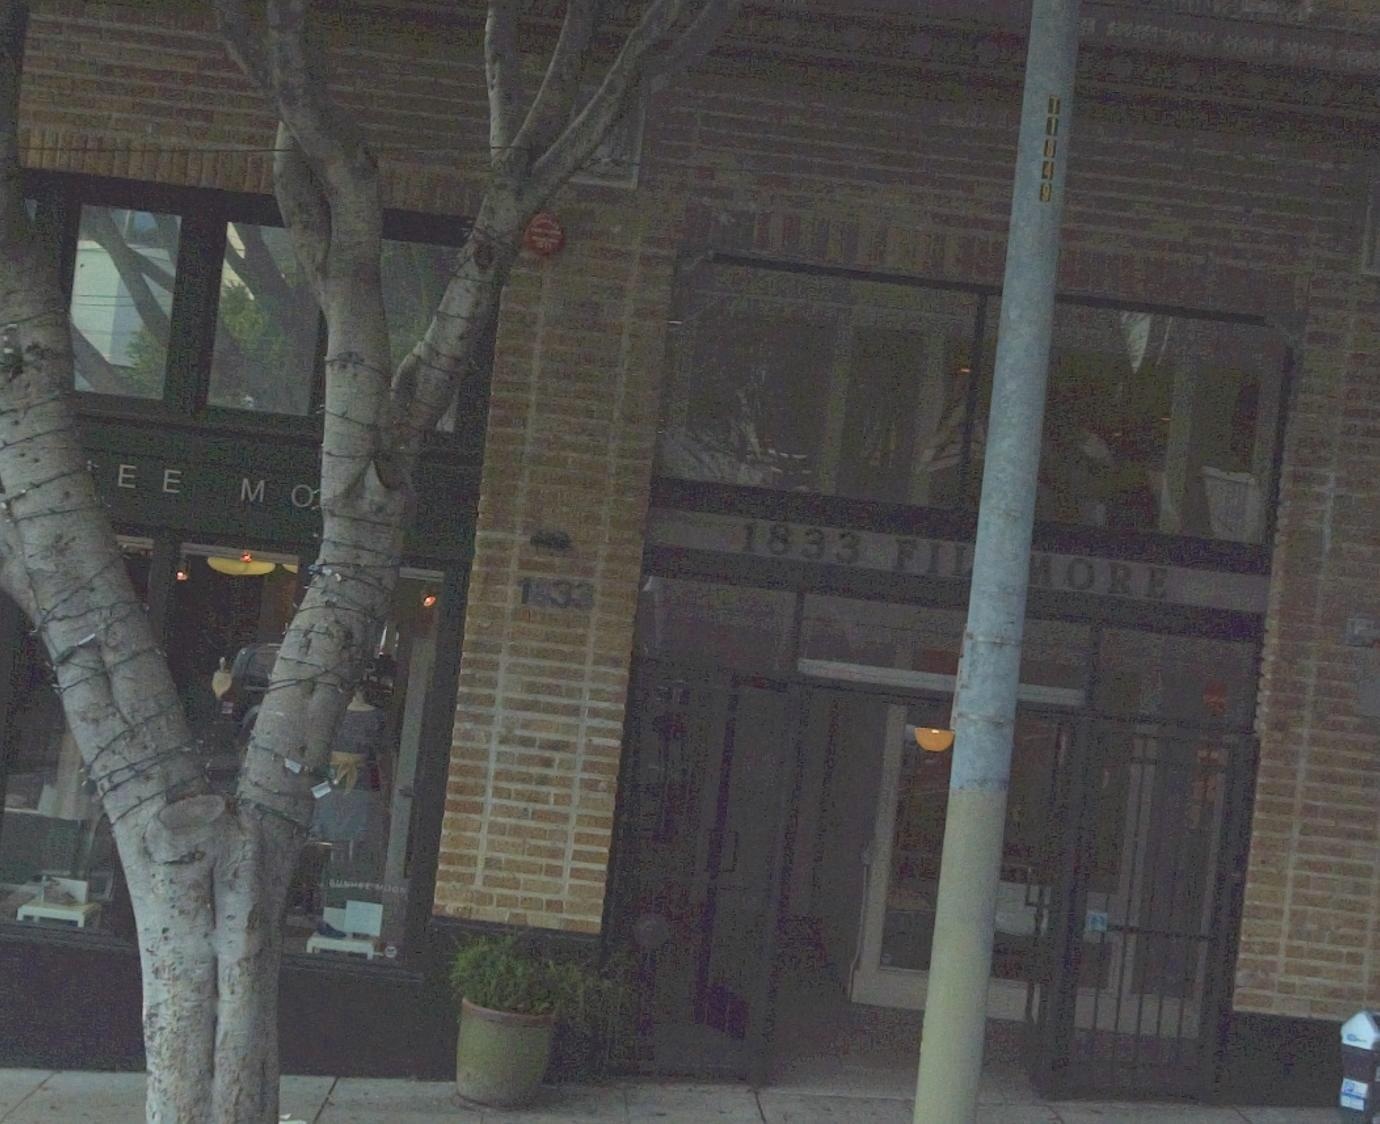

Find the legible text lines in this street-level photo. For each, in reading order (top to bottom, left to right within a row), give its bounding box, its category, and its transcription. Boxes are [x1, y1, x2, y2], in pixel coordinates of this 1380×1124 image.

[1038, 94, 1063, 205] None: T1849
[111, 459, 318, 514] BusinessName: EE M*O
[513, 570, 602, 617] StreetNumber: 1*33
[736, 516, 866, 570] StreetNumber: 1833
[887, 532, 1173, 604] StreetName: FIL**ORE